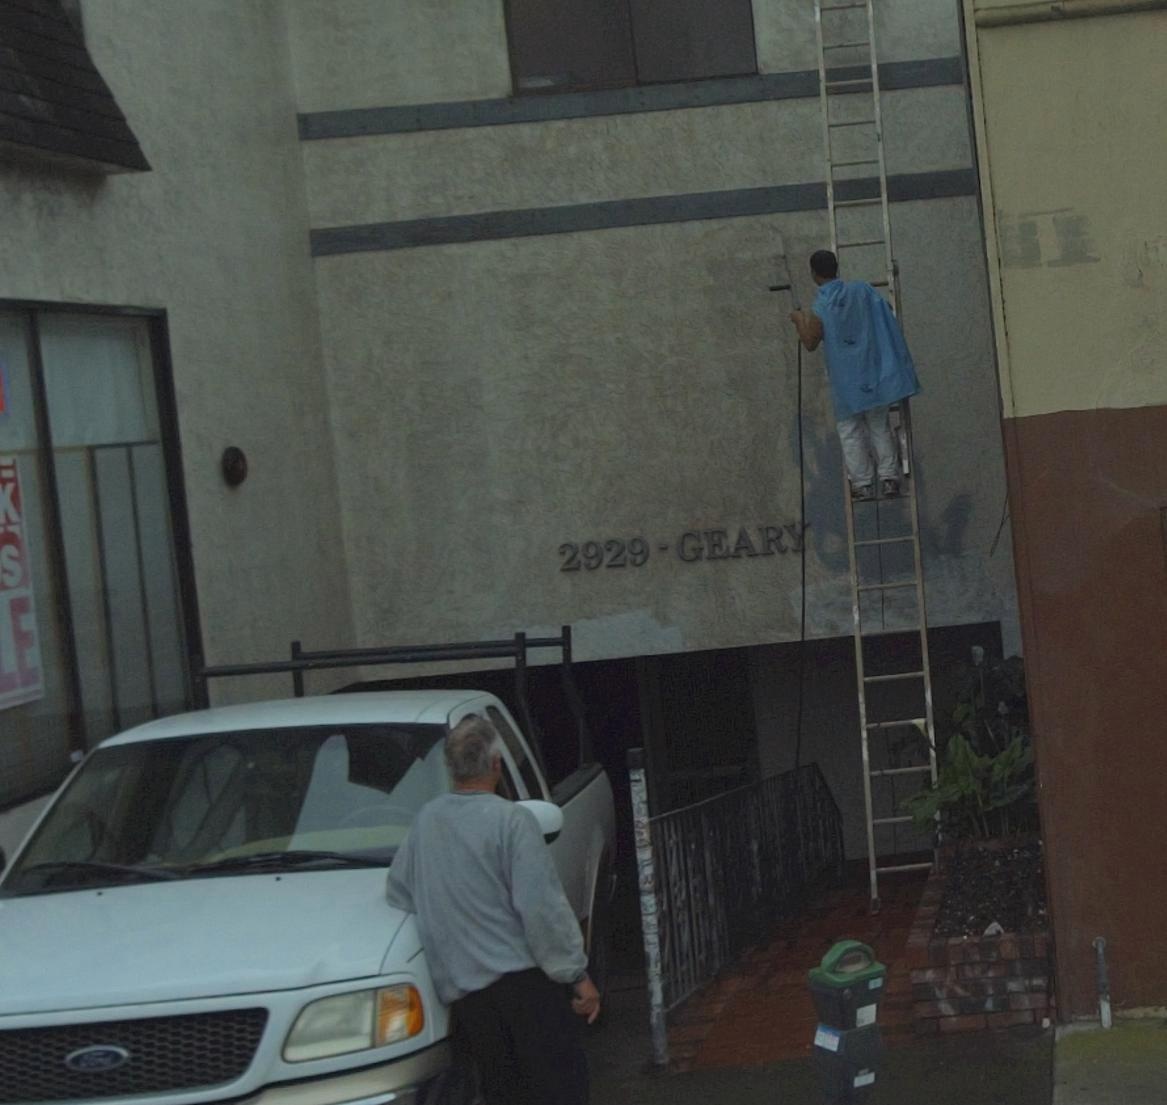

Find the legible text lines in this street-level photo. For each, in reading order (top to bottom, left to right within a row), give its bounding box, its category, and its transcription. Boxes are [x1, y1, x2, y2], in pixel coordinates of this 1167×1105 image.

[0, 541, 26, 590] None: S
[554, 534, 652, 575] StreetNumber: 2929
[675, 518, 813, 565] StreetName: GEARY
[4, 593, 44, 692] None: E